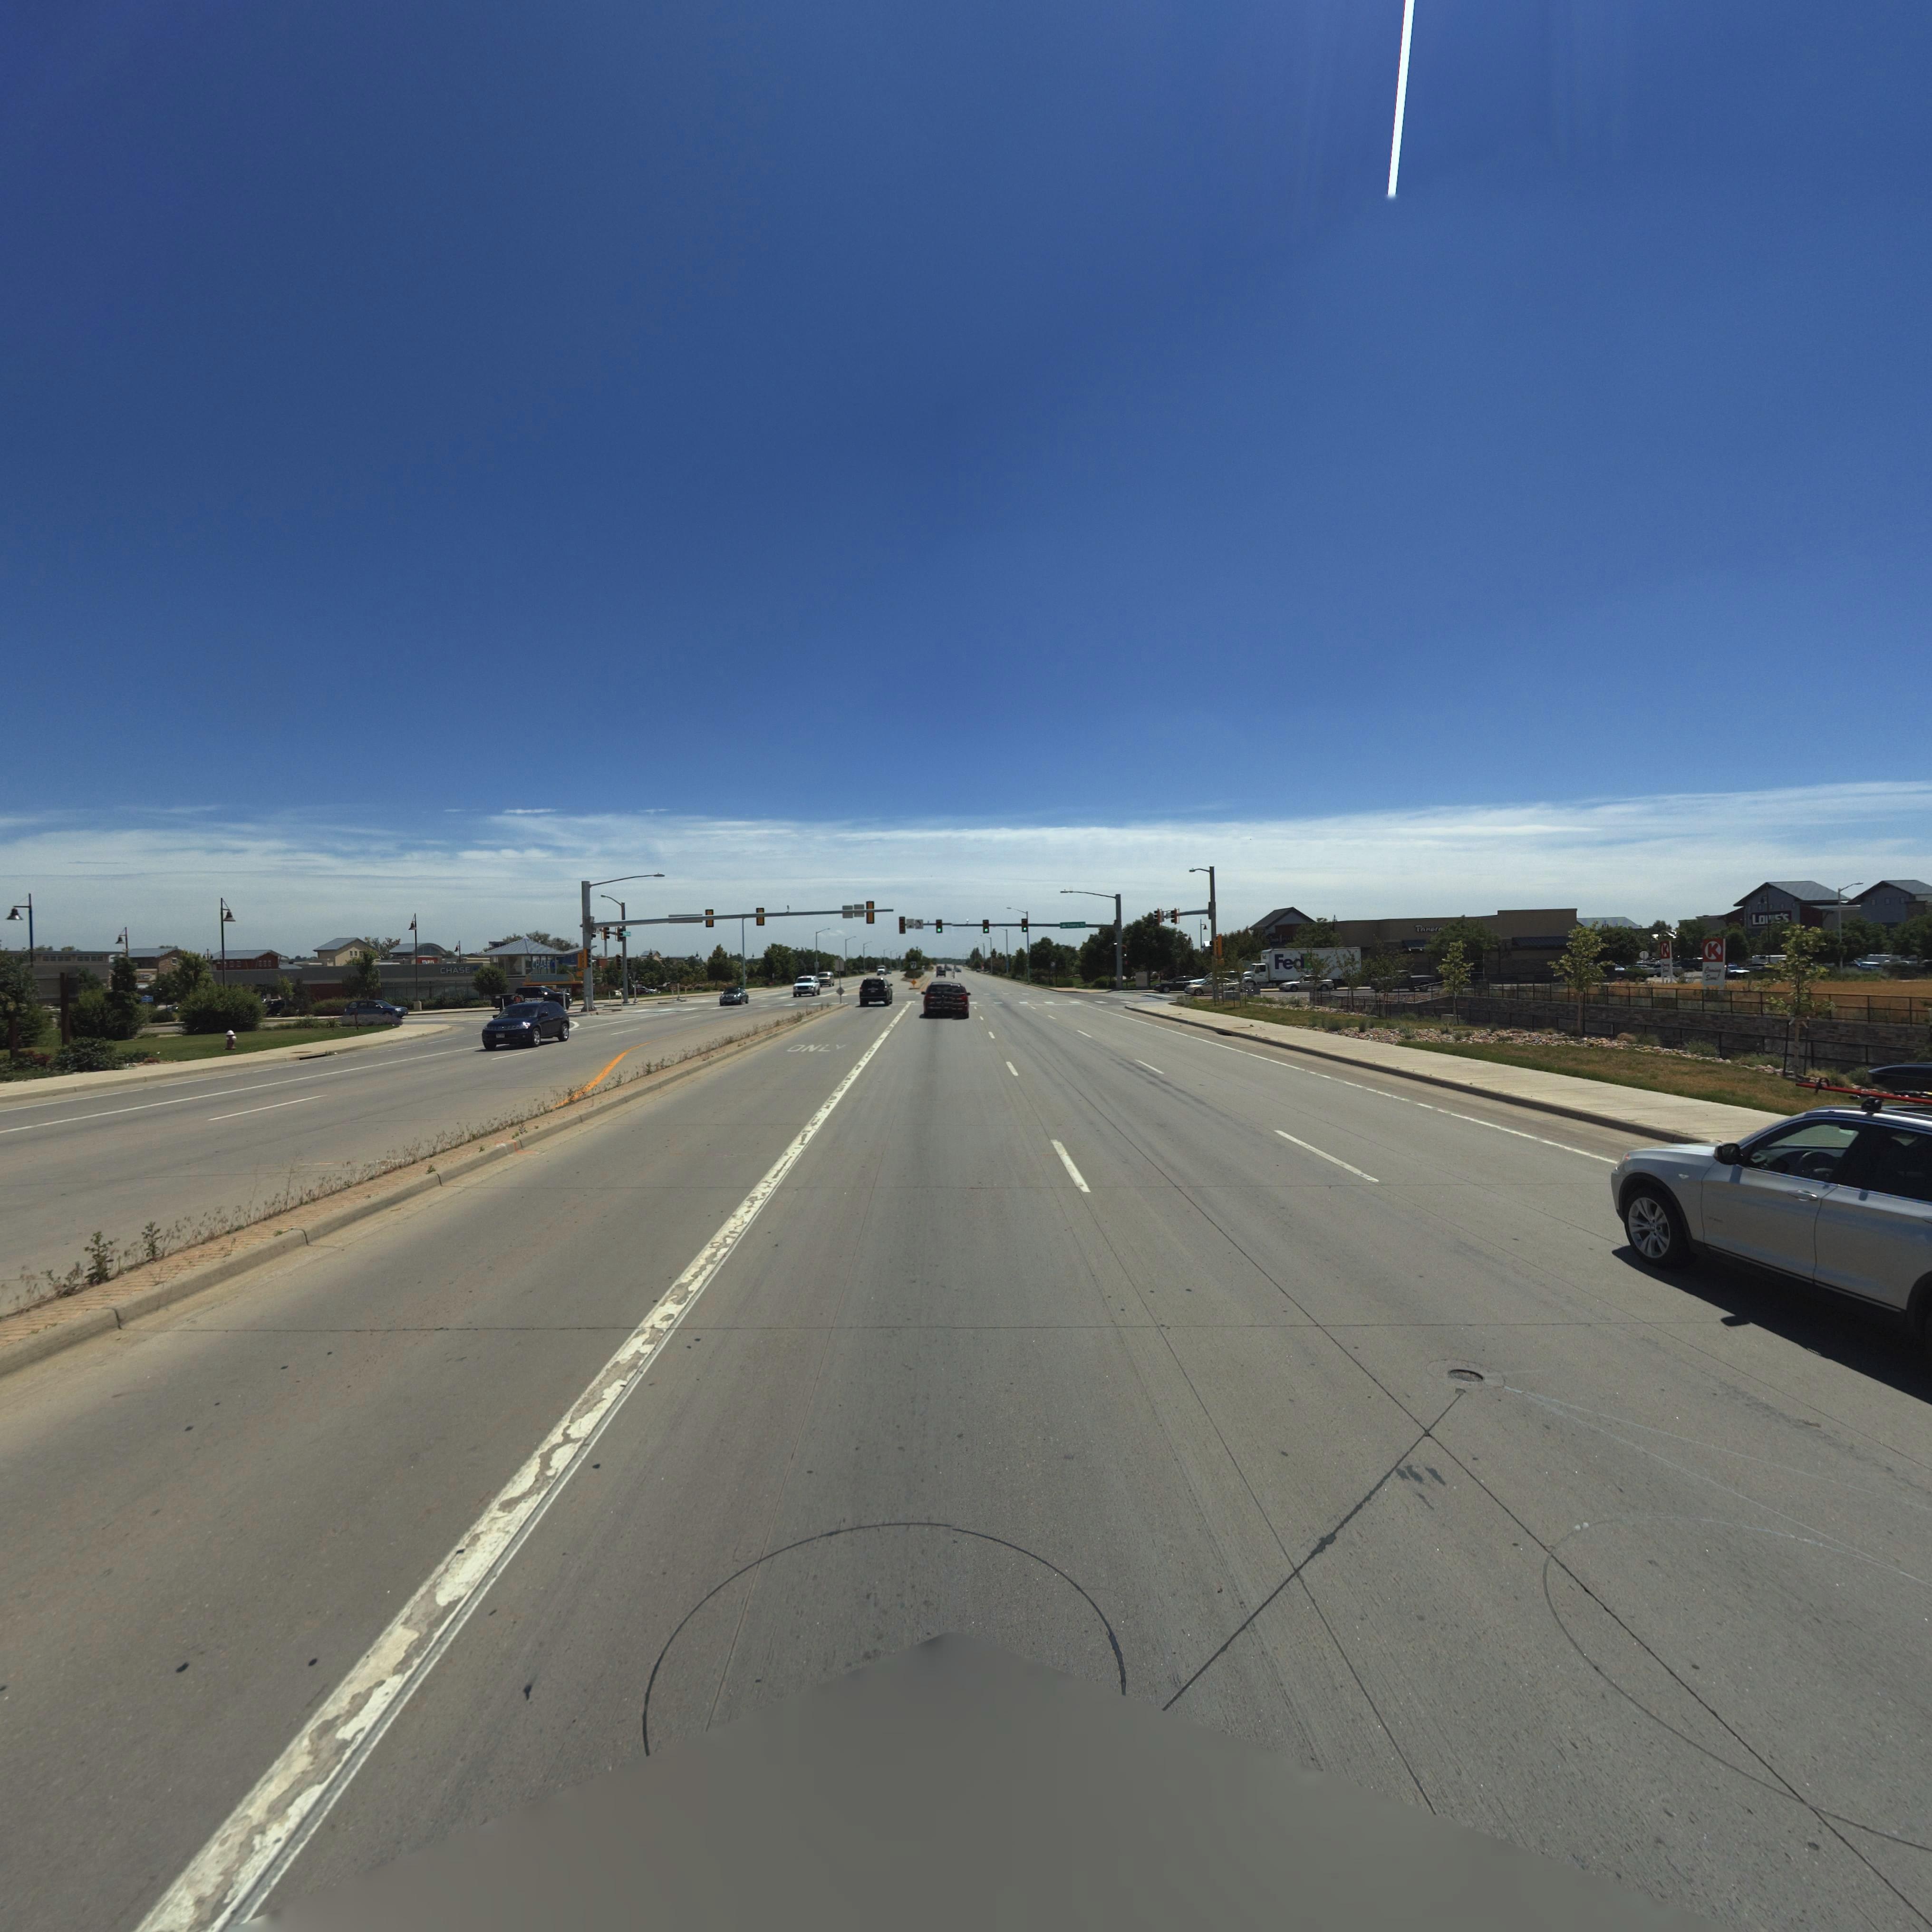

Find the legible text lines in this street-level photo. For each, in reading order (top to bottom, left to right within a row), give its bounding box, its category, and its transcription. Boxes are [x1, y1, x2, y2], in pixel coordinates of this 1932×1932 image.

[1752, 912, 1789, 924] BusinessName: LO****
[1414, 924, 1439, 932] BusinessName: Paner
[531, 960, 550, 969] BusinessName: CHASE